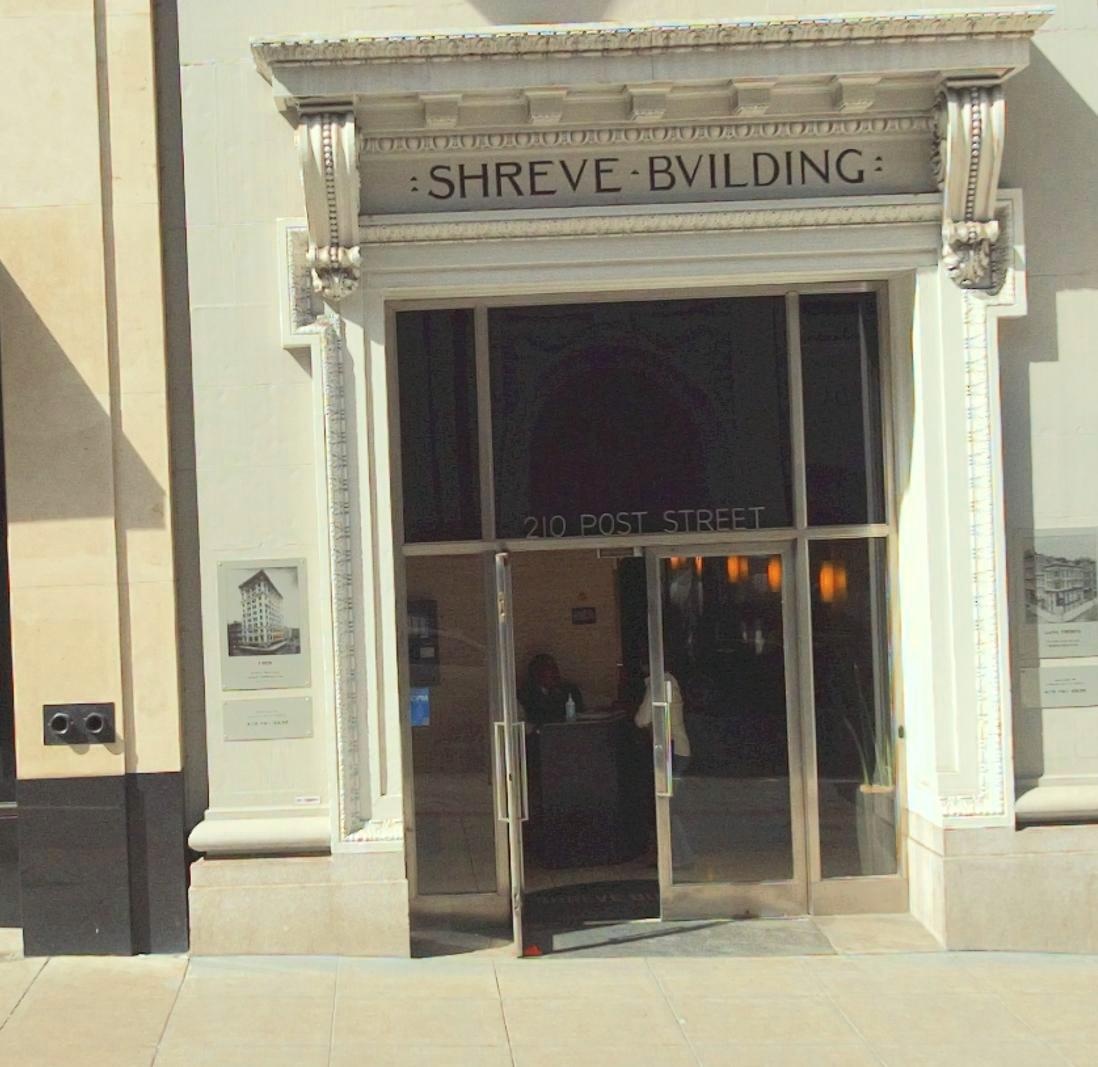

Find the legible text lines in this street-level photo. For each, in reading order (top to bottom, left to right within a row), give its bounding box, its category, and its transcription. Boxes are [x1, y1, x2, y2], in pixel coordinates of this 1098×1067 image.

[425, 147, 868, 202] None: SHREVE - BVILDING
[522, 514, 567, 540] StreetNumber: 210
[578, 505, 768, 537] StreetName: POST STREET